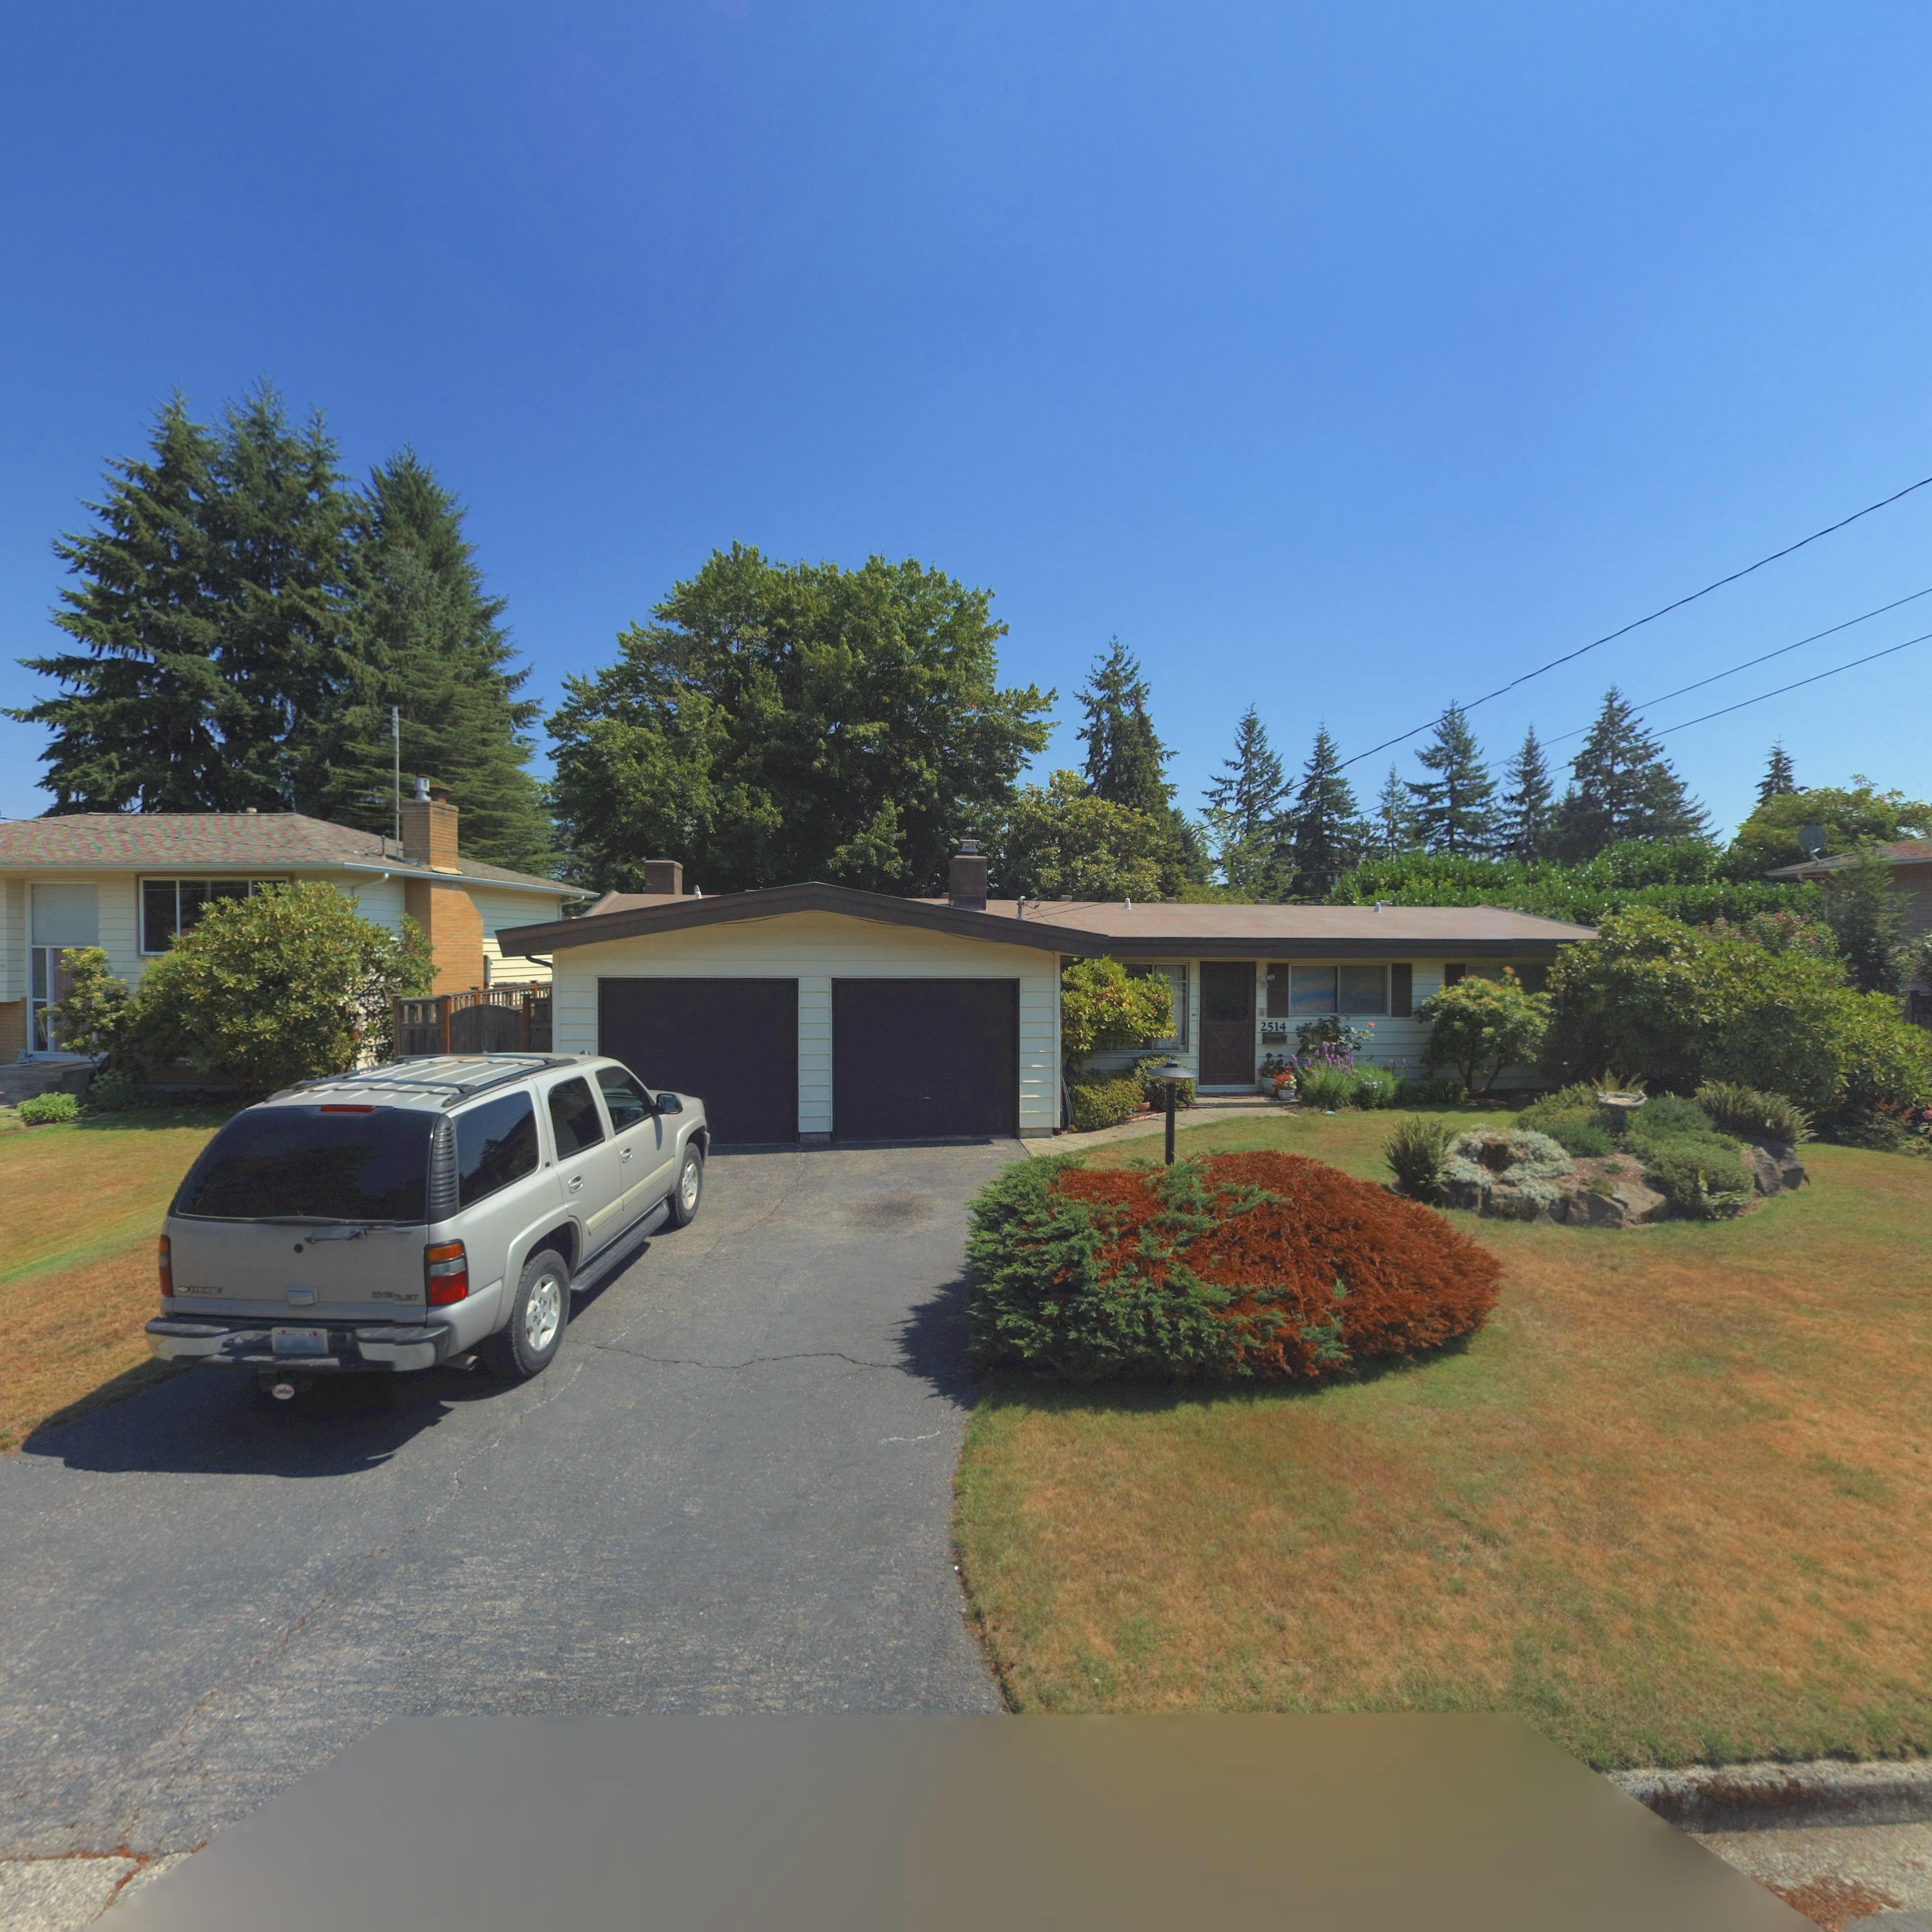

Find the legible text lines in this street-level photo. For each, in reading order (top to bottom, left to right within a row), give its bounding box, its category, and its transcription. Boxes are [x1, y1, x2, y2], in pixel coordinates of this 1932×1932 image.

[1260, 1021, 1286, 1032] StreetNumber: 2514